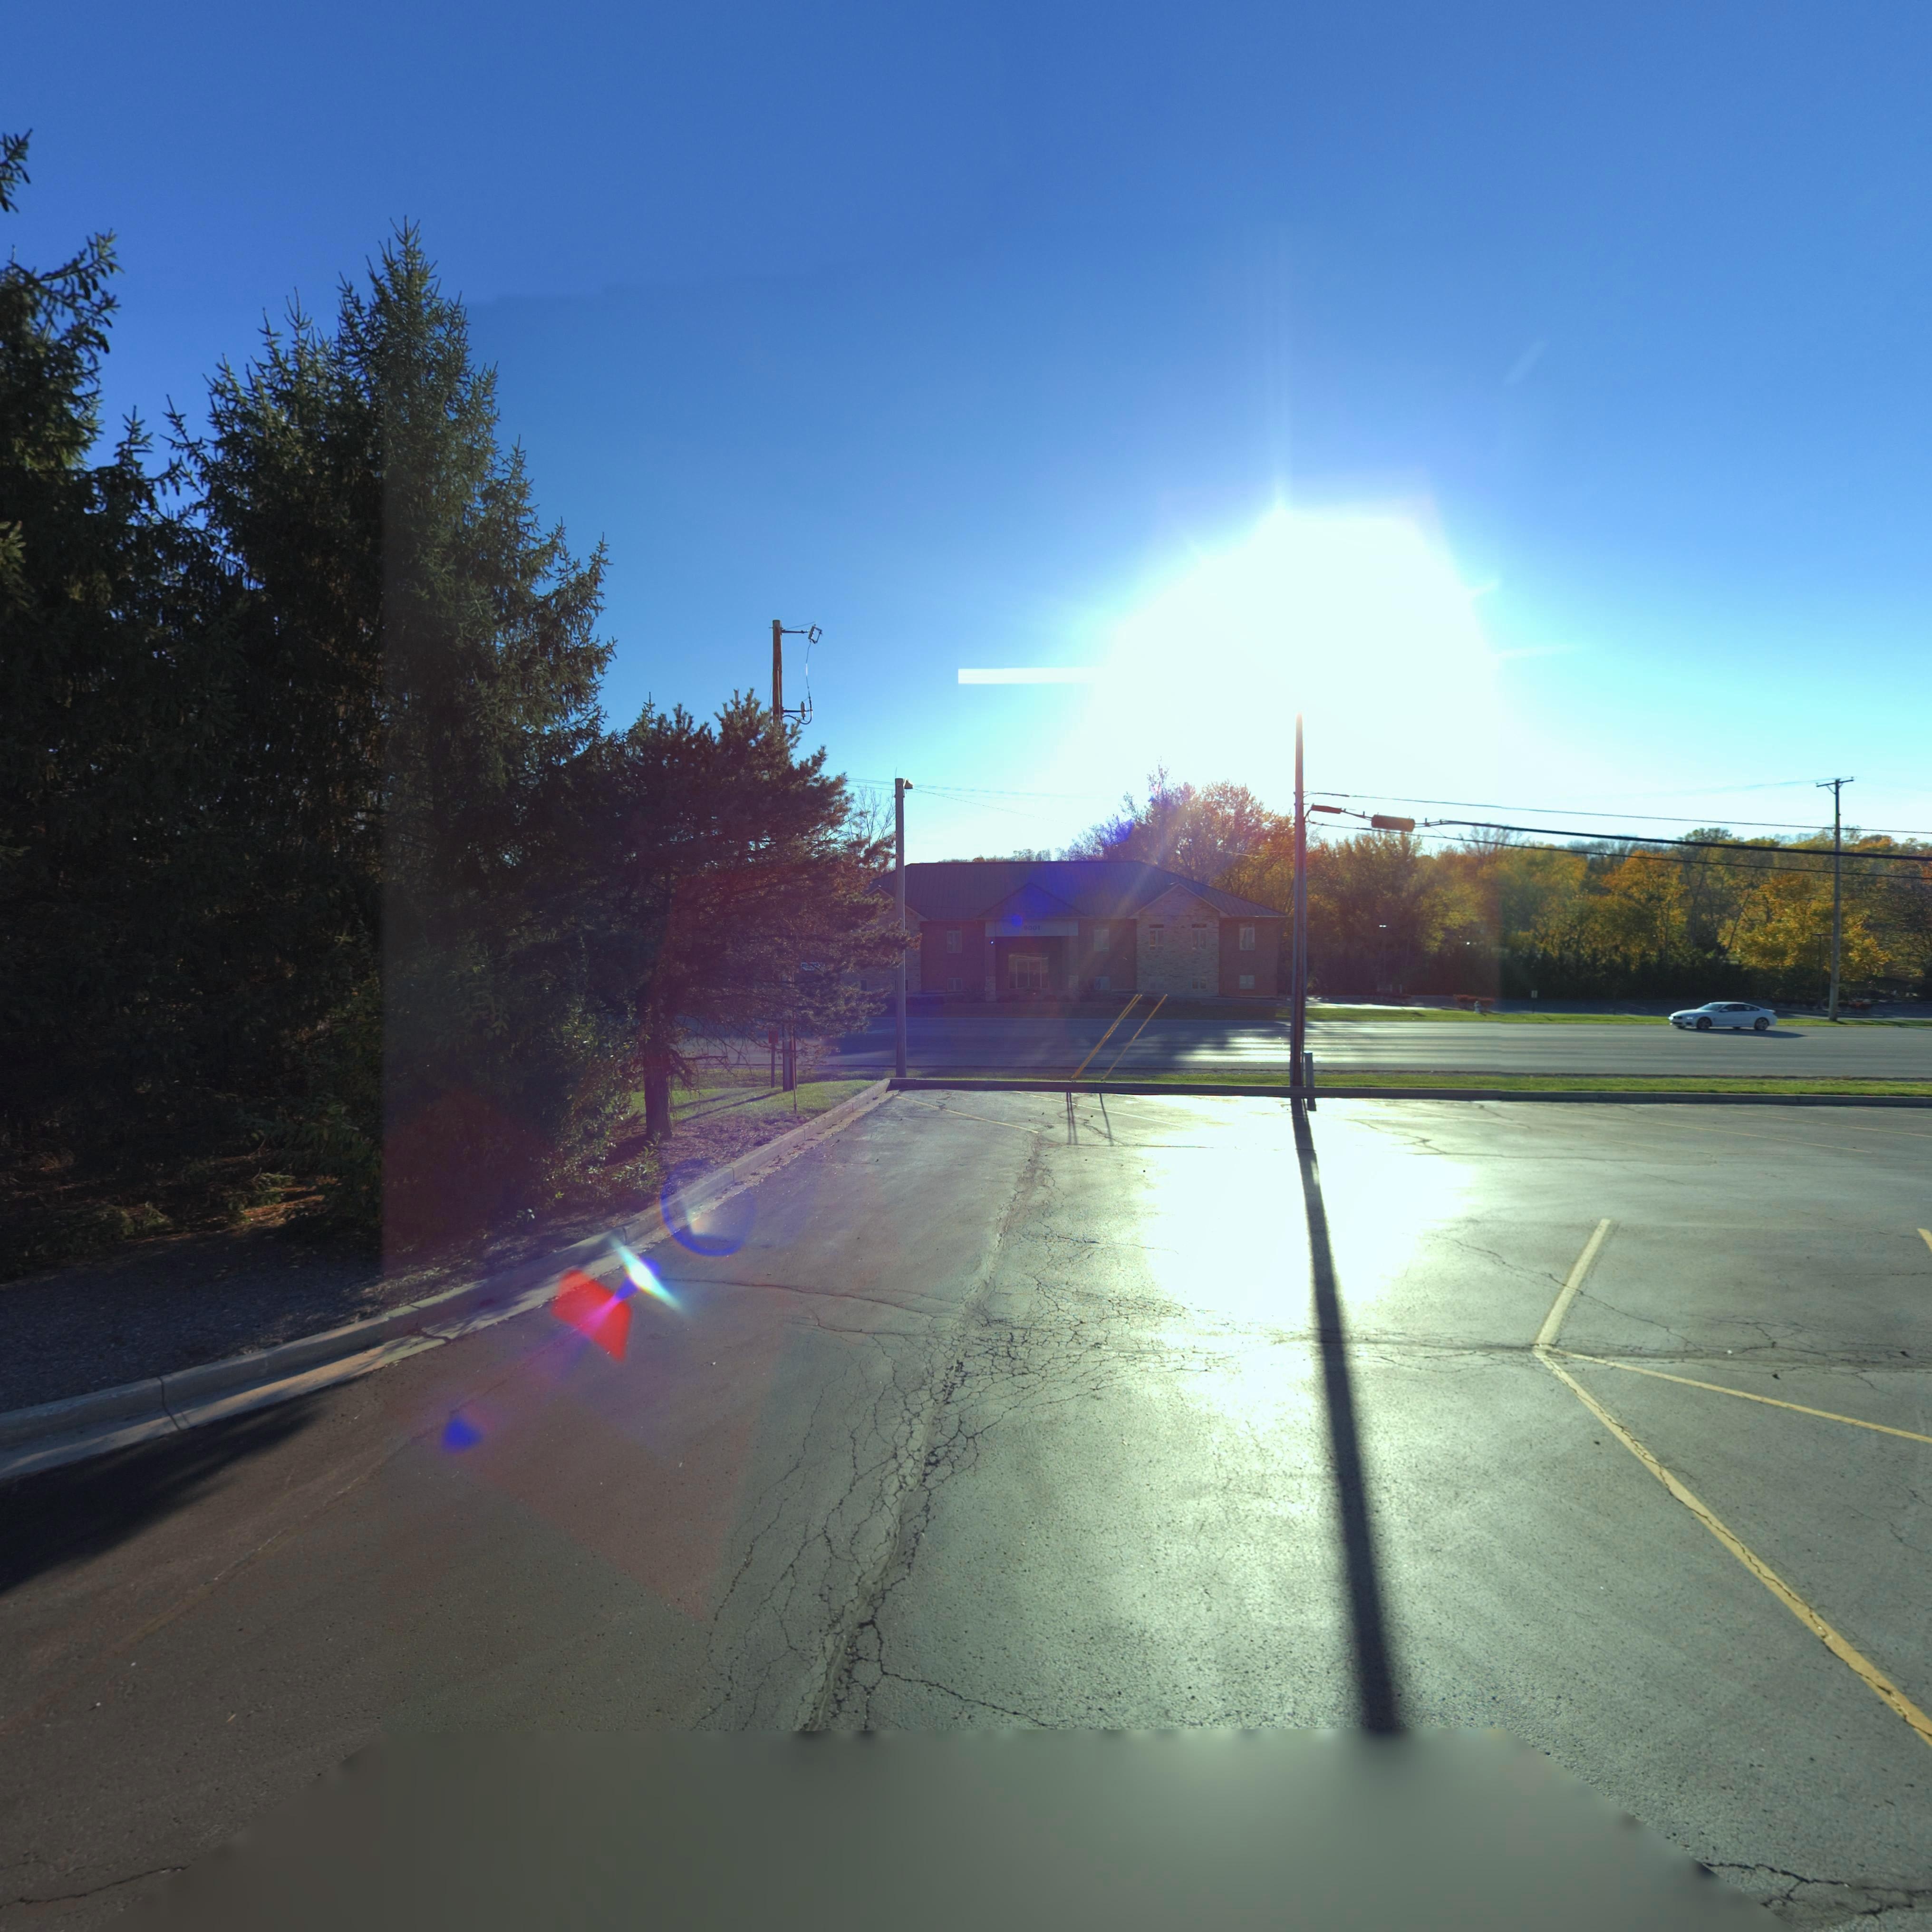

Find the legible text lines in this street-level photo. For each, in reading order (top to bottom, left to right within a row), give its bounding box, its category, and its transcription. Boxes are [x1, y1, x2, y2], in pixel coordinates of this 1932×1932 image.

[1023, 925, 1041, 931] StreetNumber: 9001